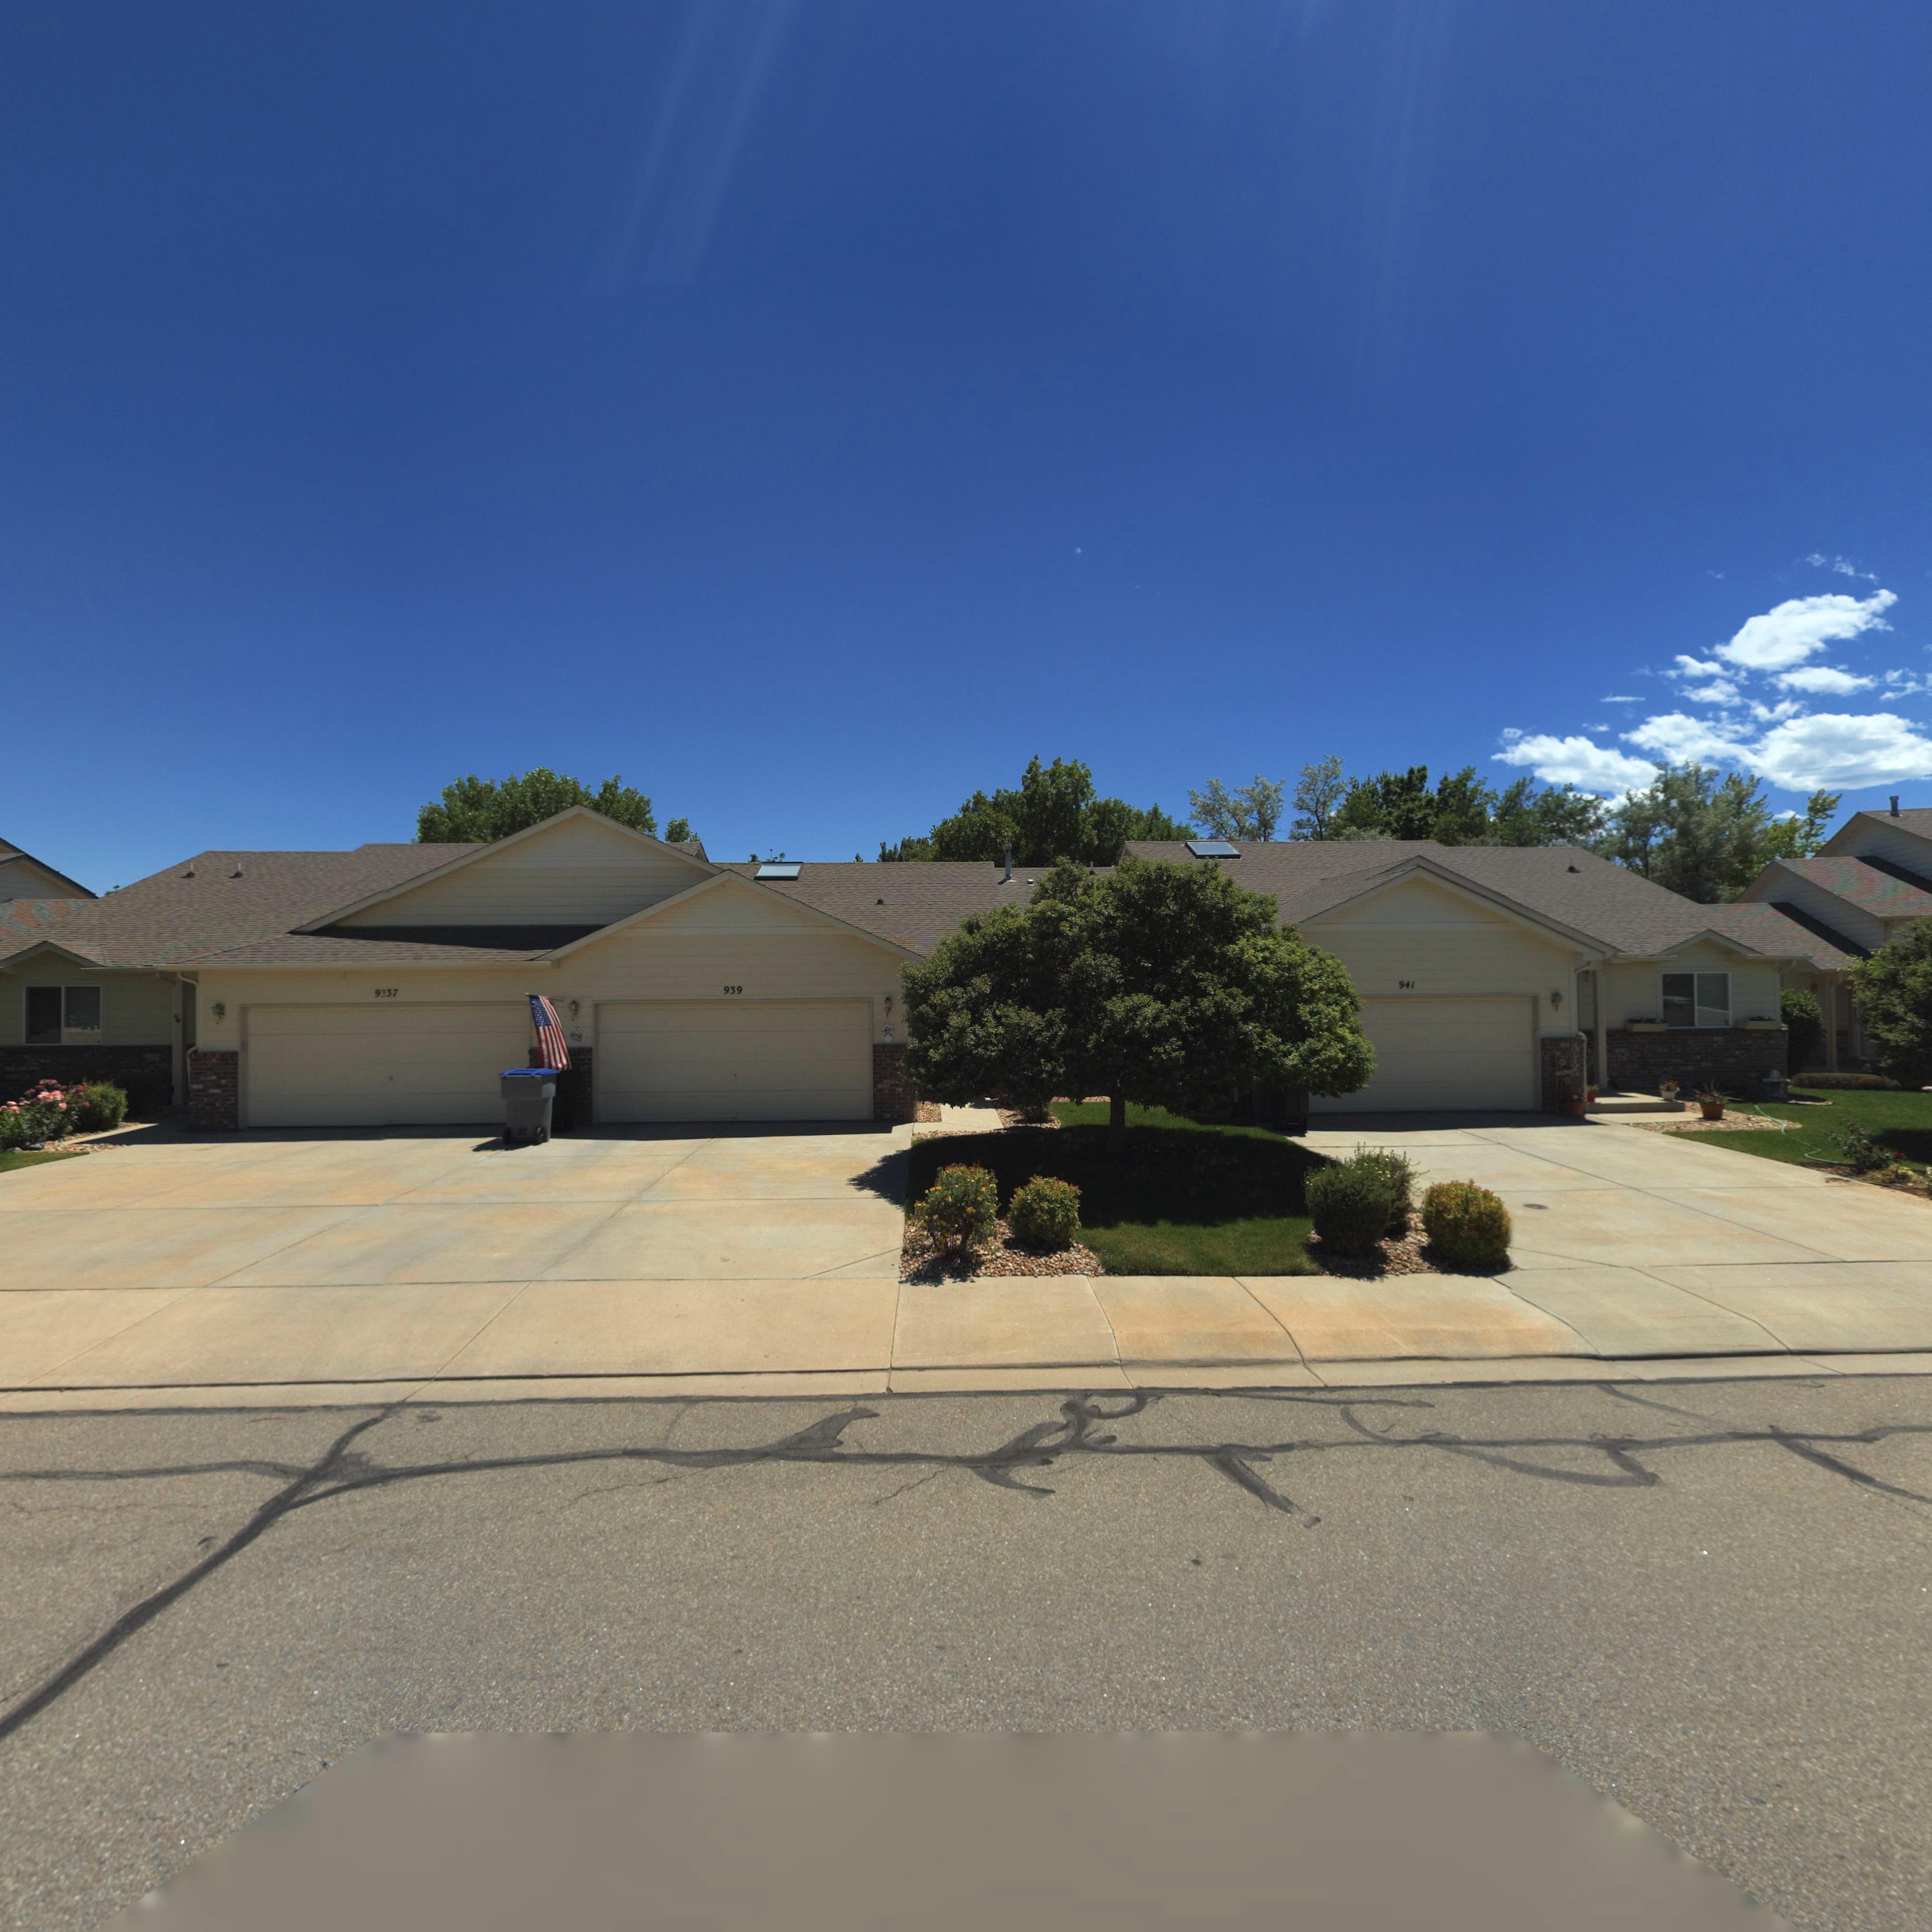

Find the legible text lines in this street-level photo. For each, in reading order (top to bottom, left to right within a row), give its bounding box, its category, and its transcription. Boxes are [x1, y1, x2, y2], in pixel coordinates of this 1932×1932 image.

[1399, 980, 1415, 989] StreetNumber: 941
[373, 987, 399, 998] StreetNumber: 9*37
[724, 985, 742, 995] StreetNumber: 939